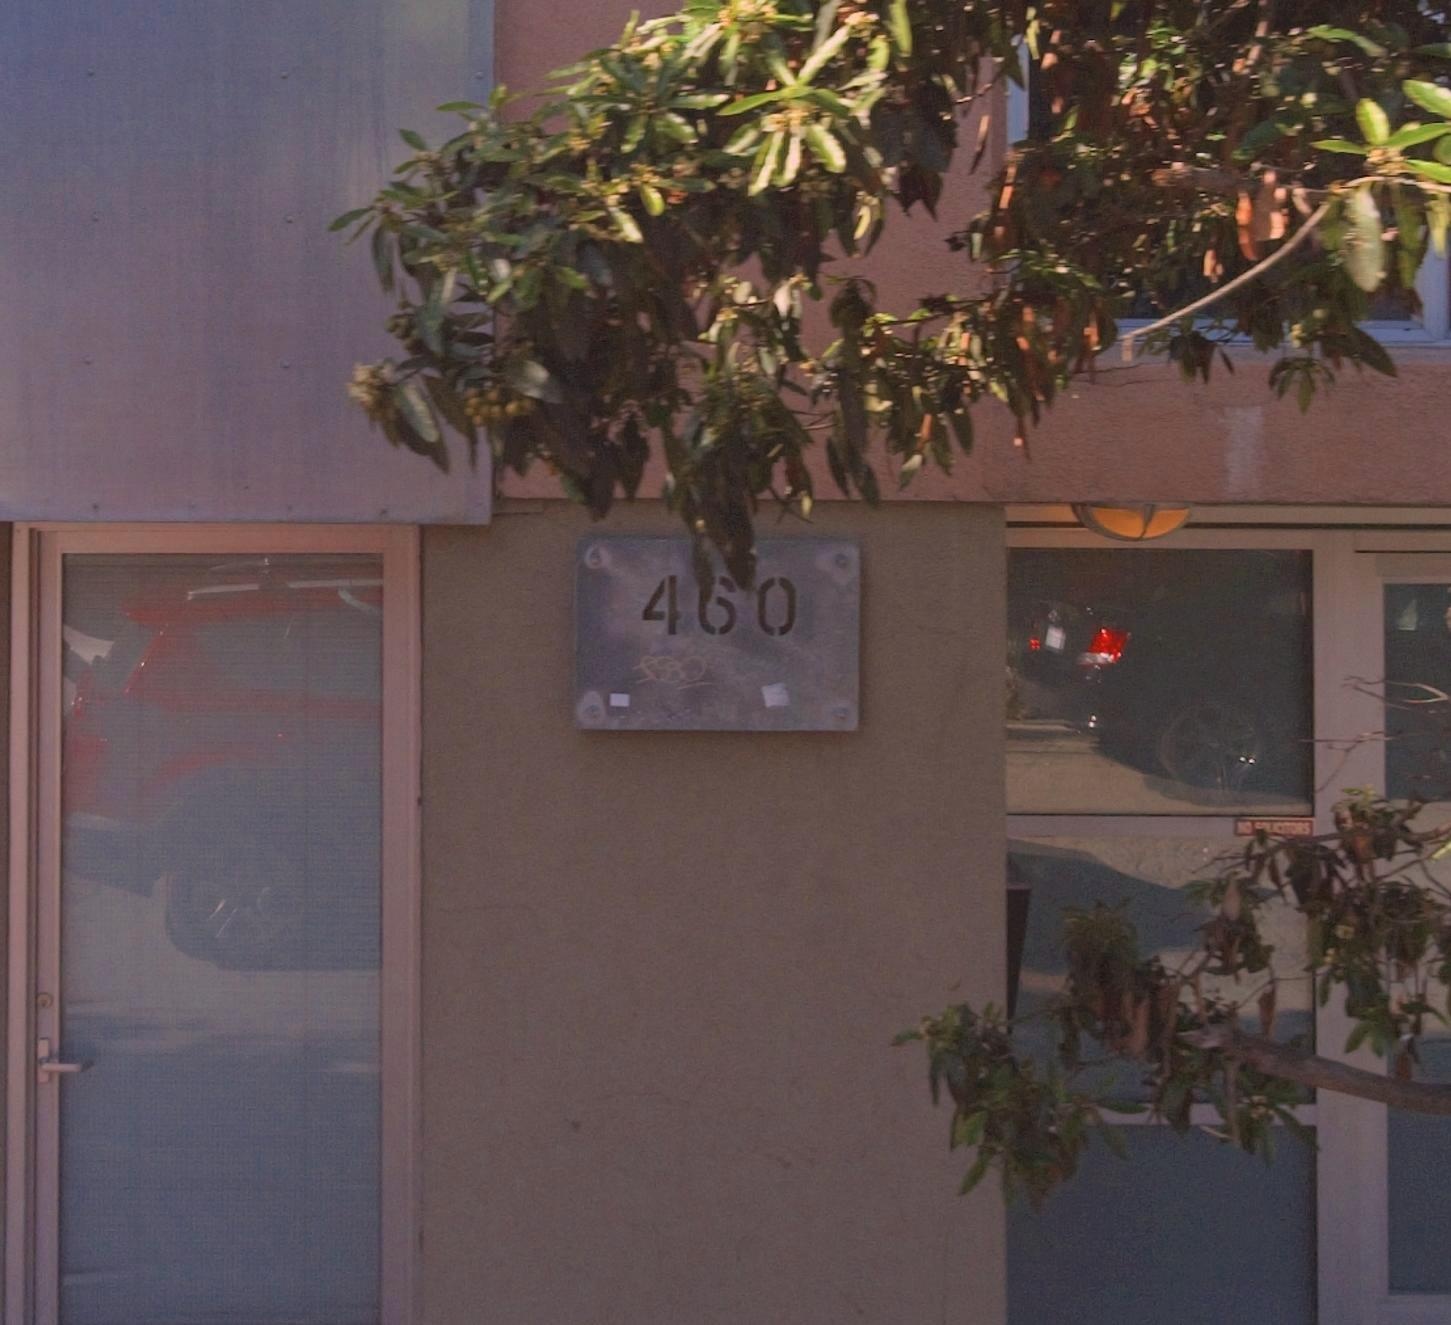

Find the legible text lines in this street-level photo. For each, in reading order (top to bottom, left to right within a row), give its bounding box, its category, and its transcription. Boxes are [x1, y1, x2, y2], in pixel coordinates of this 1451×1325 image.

[639, 573, 799, 638] StreetNumber: 460